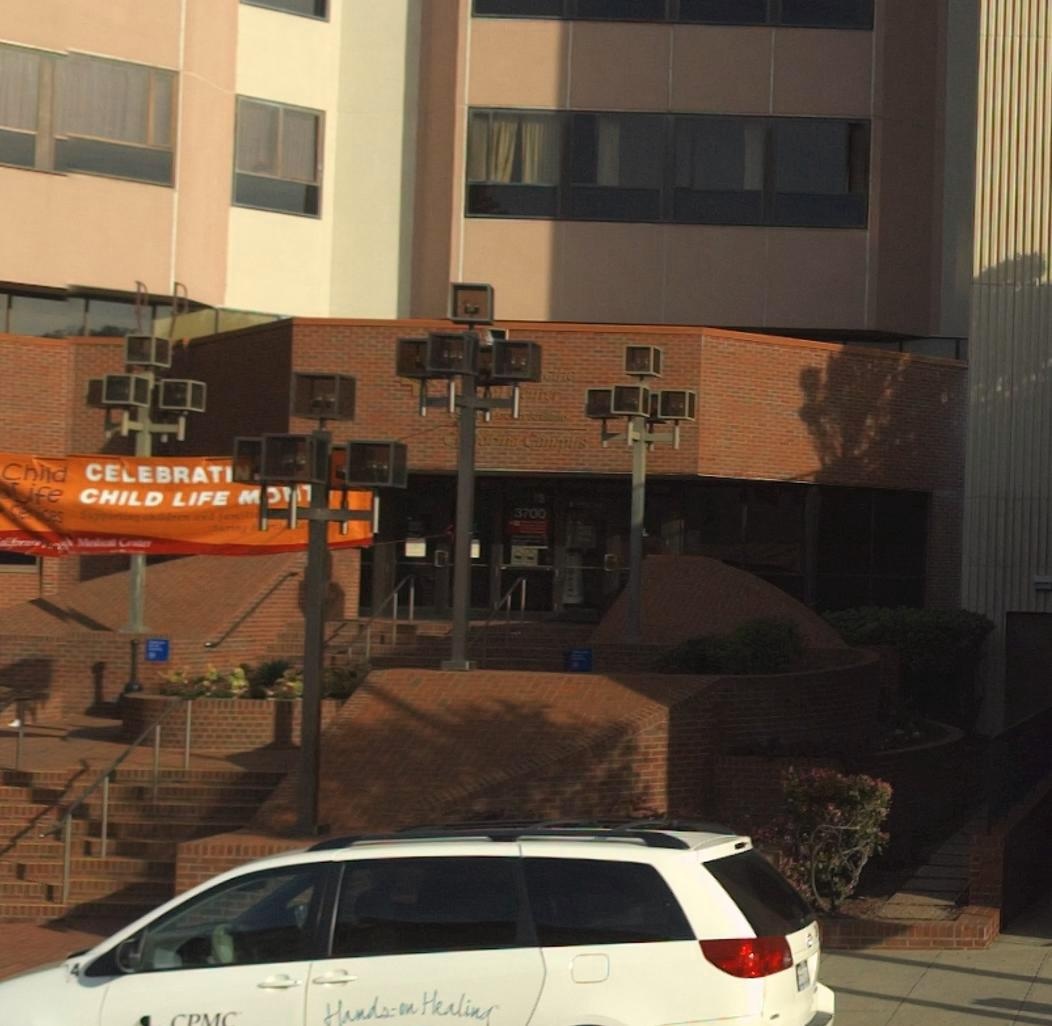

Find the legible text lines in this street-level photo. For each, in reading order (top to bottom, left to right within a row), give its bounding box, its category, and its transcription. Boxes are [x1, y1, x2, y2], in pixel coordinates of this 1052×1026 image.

[0, 459, 70, 485] None: Child
[82, 461, 234, 487] None: CELEBRATI
[7, 481, 65, 506] None: Life
[77, 486, 262, 509] None: CHILD LIFE M
[48, 509, 67, 526] None: es
[512, 506, 548, 521] StreetNumber: 3700
[320, 985, 500, 1025] None: Hands: on Healin*